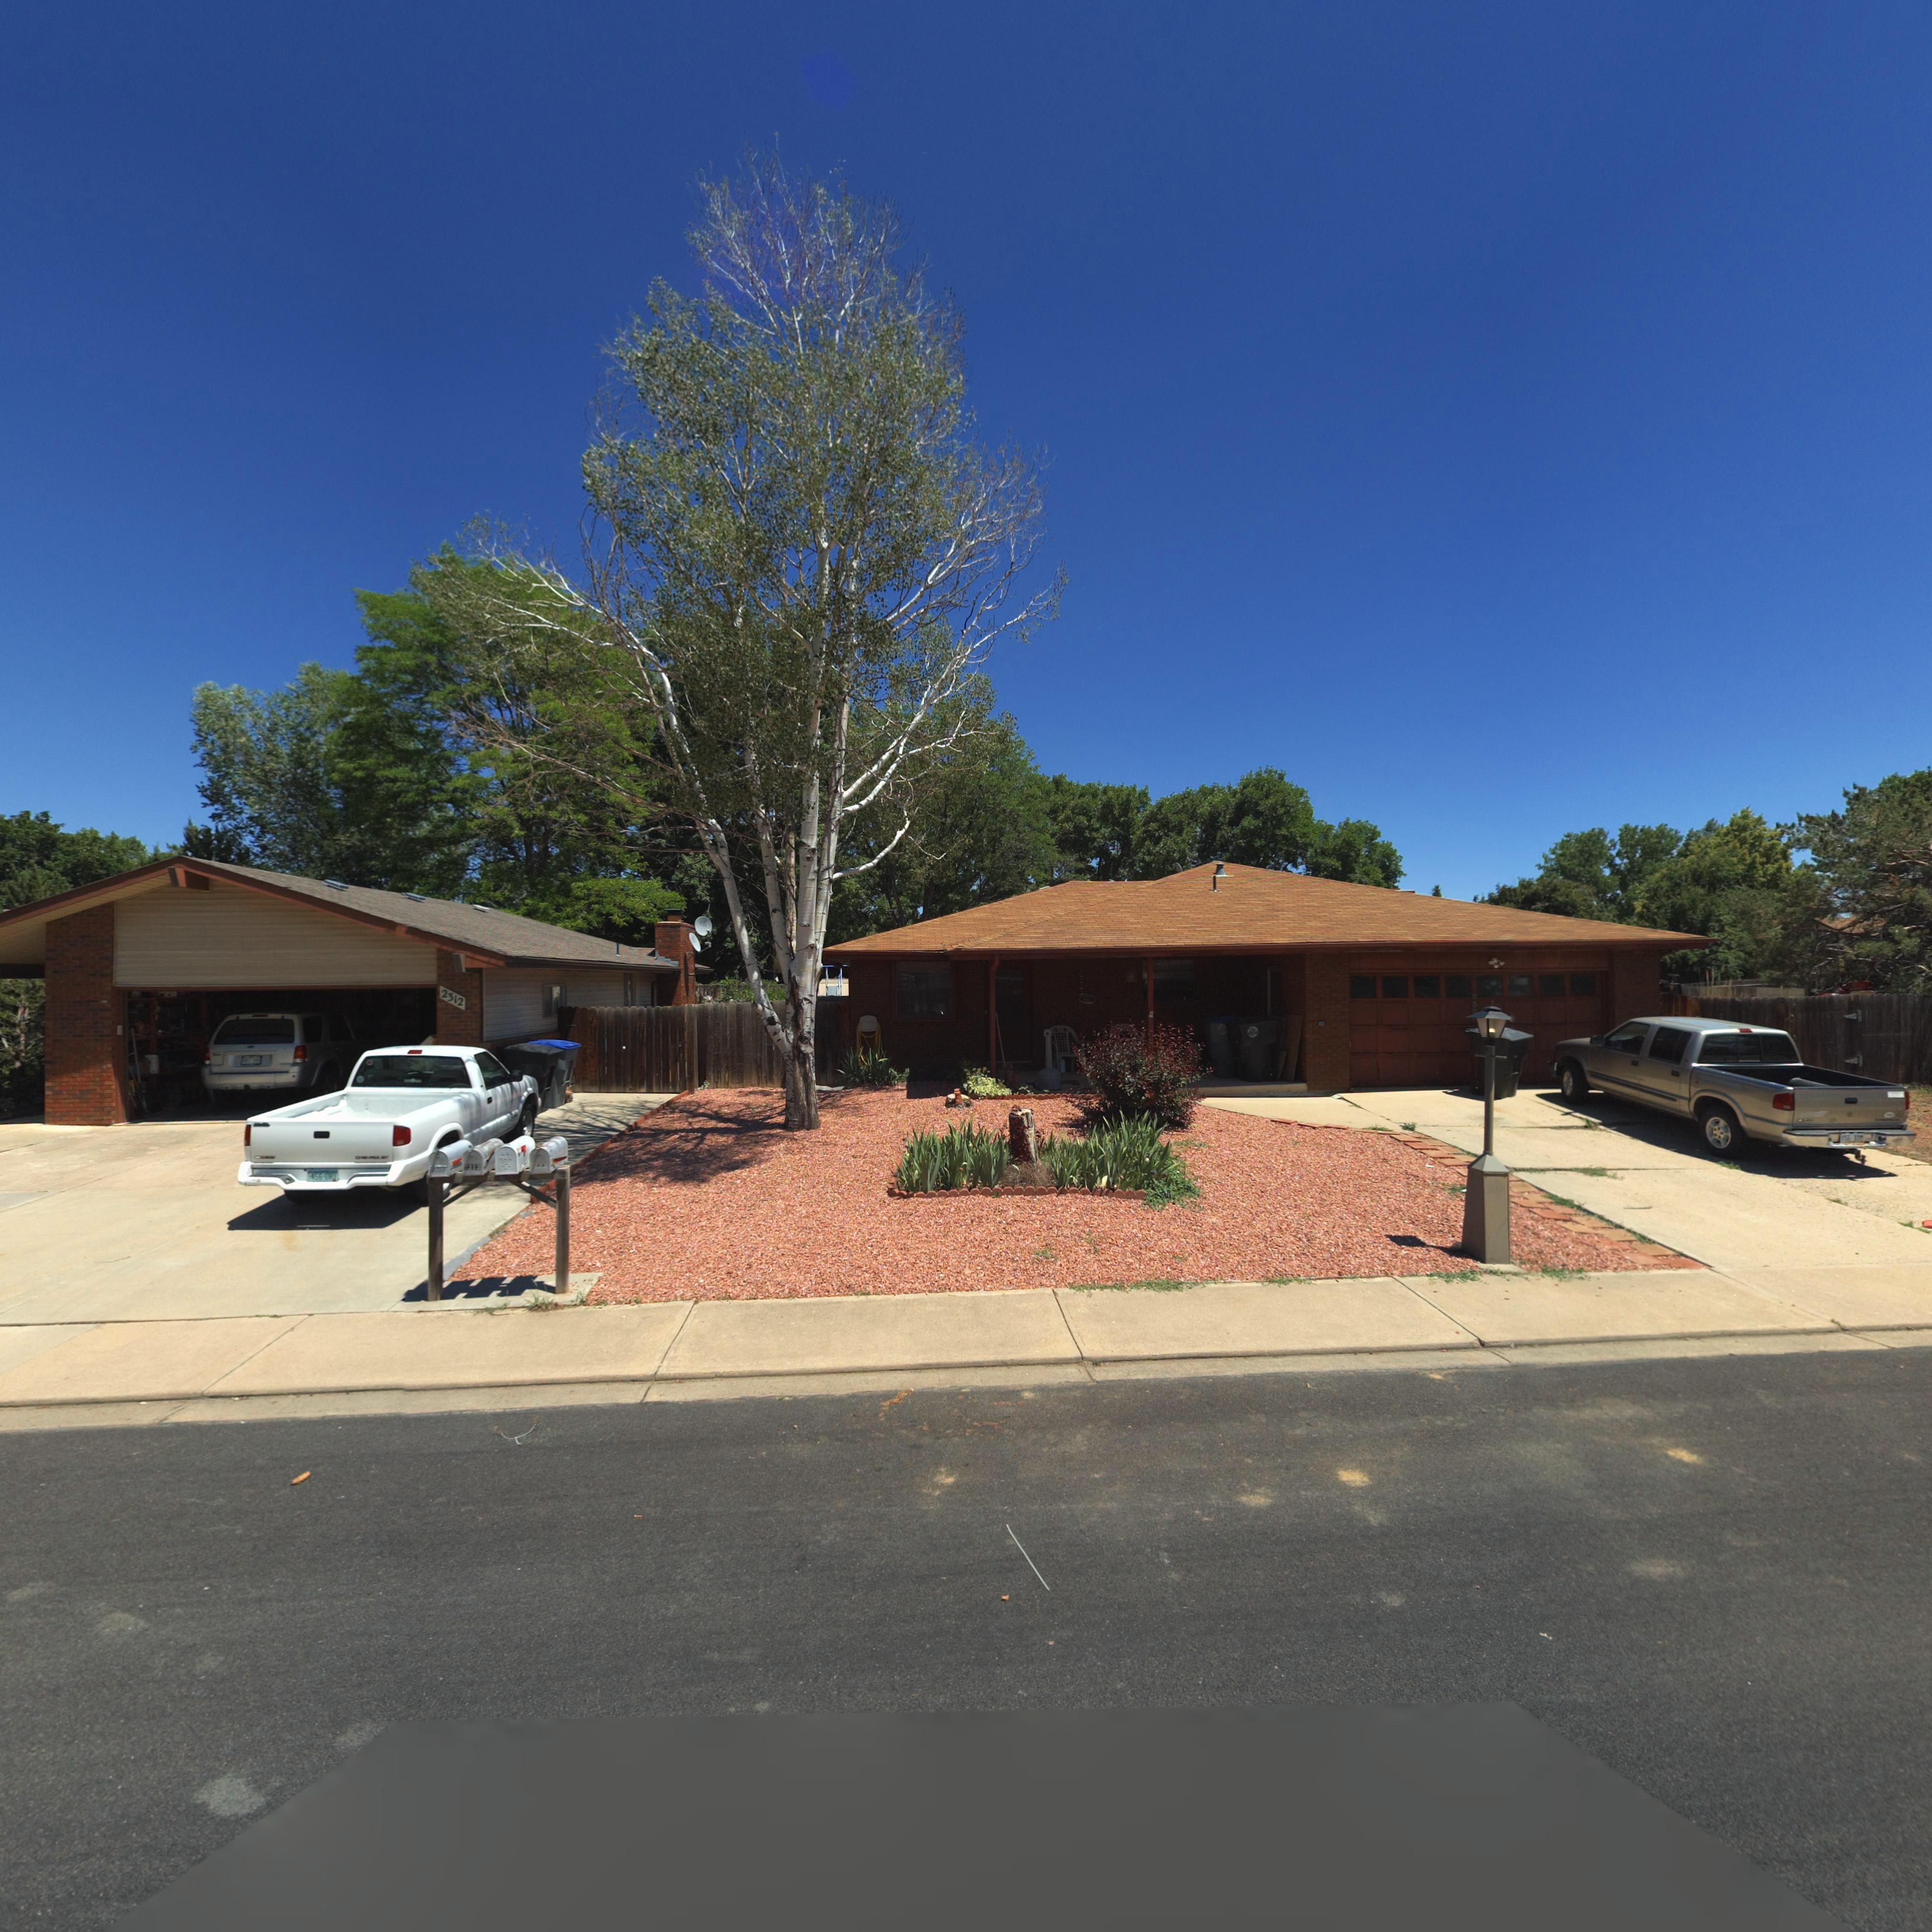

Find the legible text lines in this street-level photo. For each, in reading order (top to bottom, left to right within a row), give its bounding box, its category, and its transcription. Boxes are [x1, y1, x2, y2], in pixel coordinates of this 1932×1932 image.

[441, 988, 464, 1006] StreetNumber: 2312
[464, 1164, 481, 1170] StreetNumber: 2313